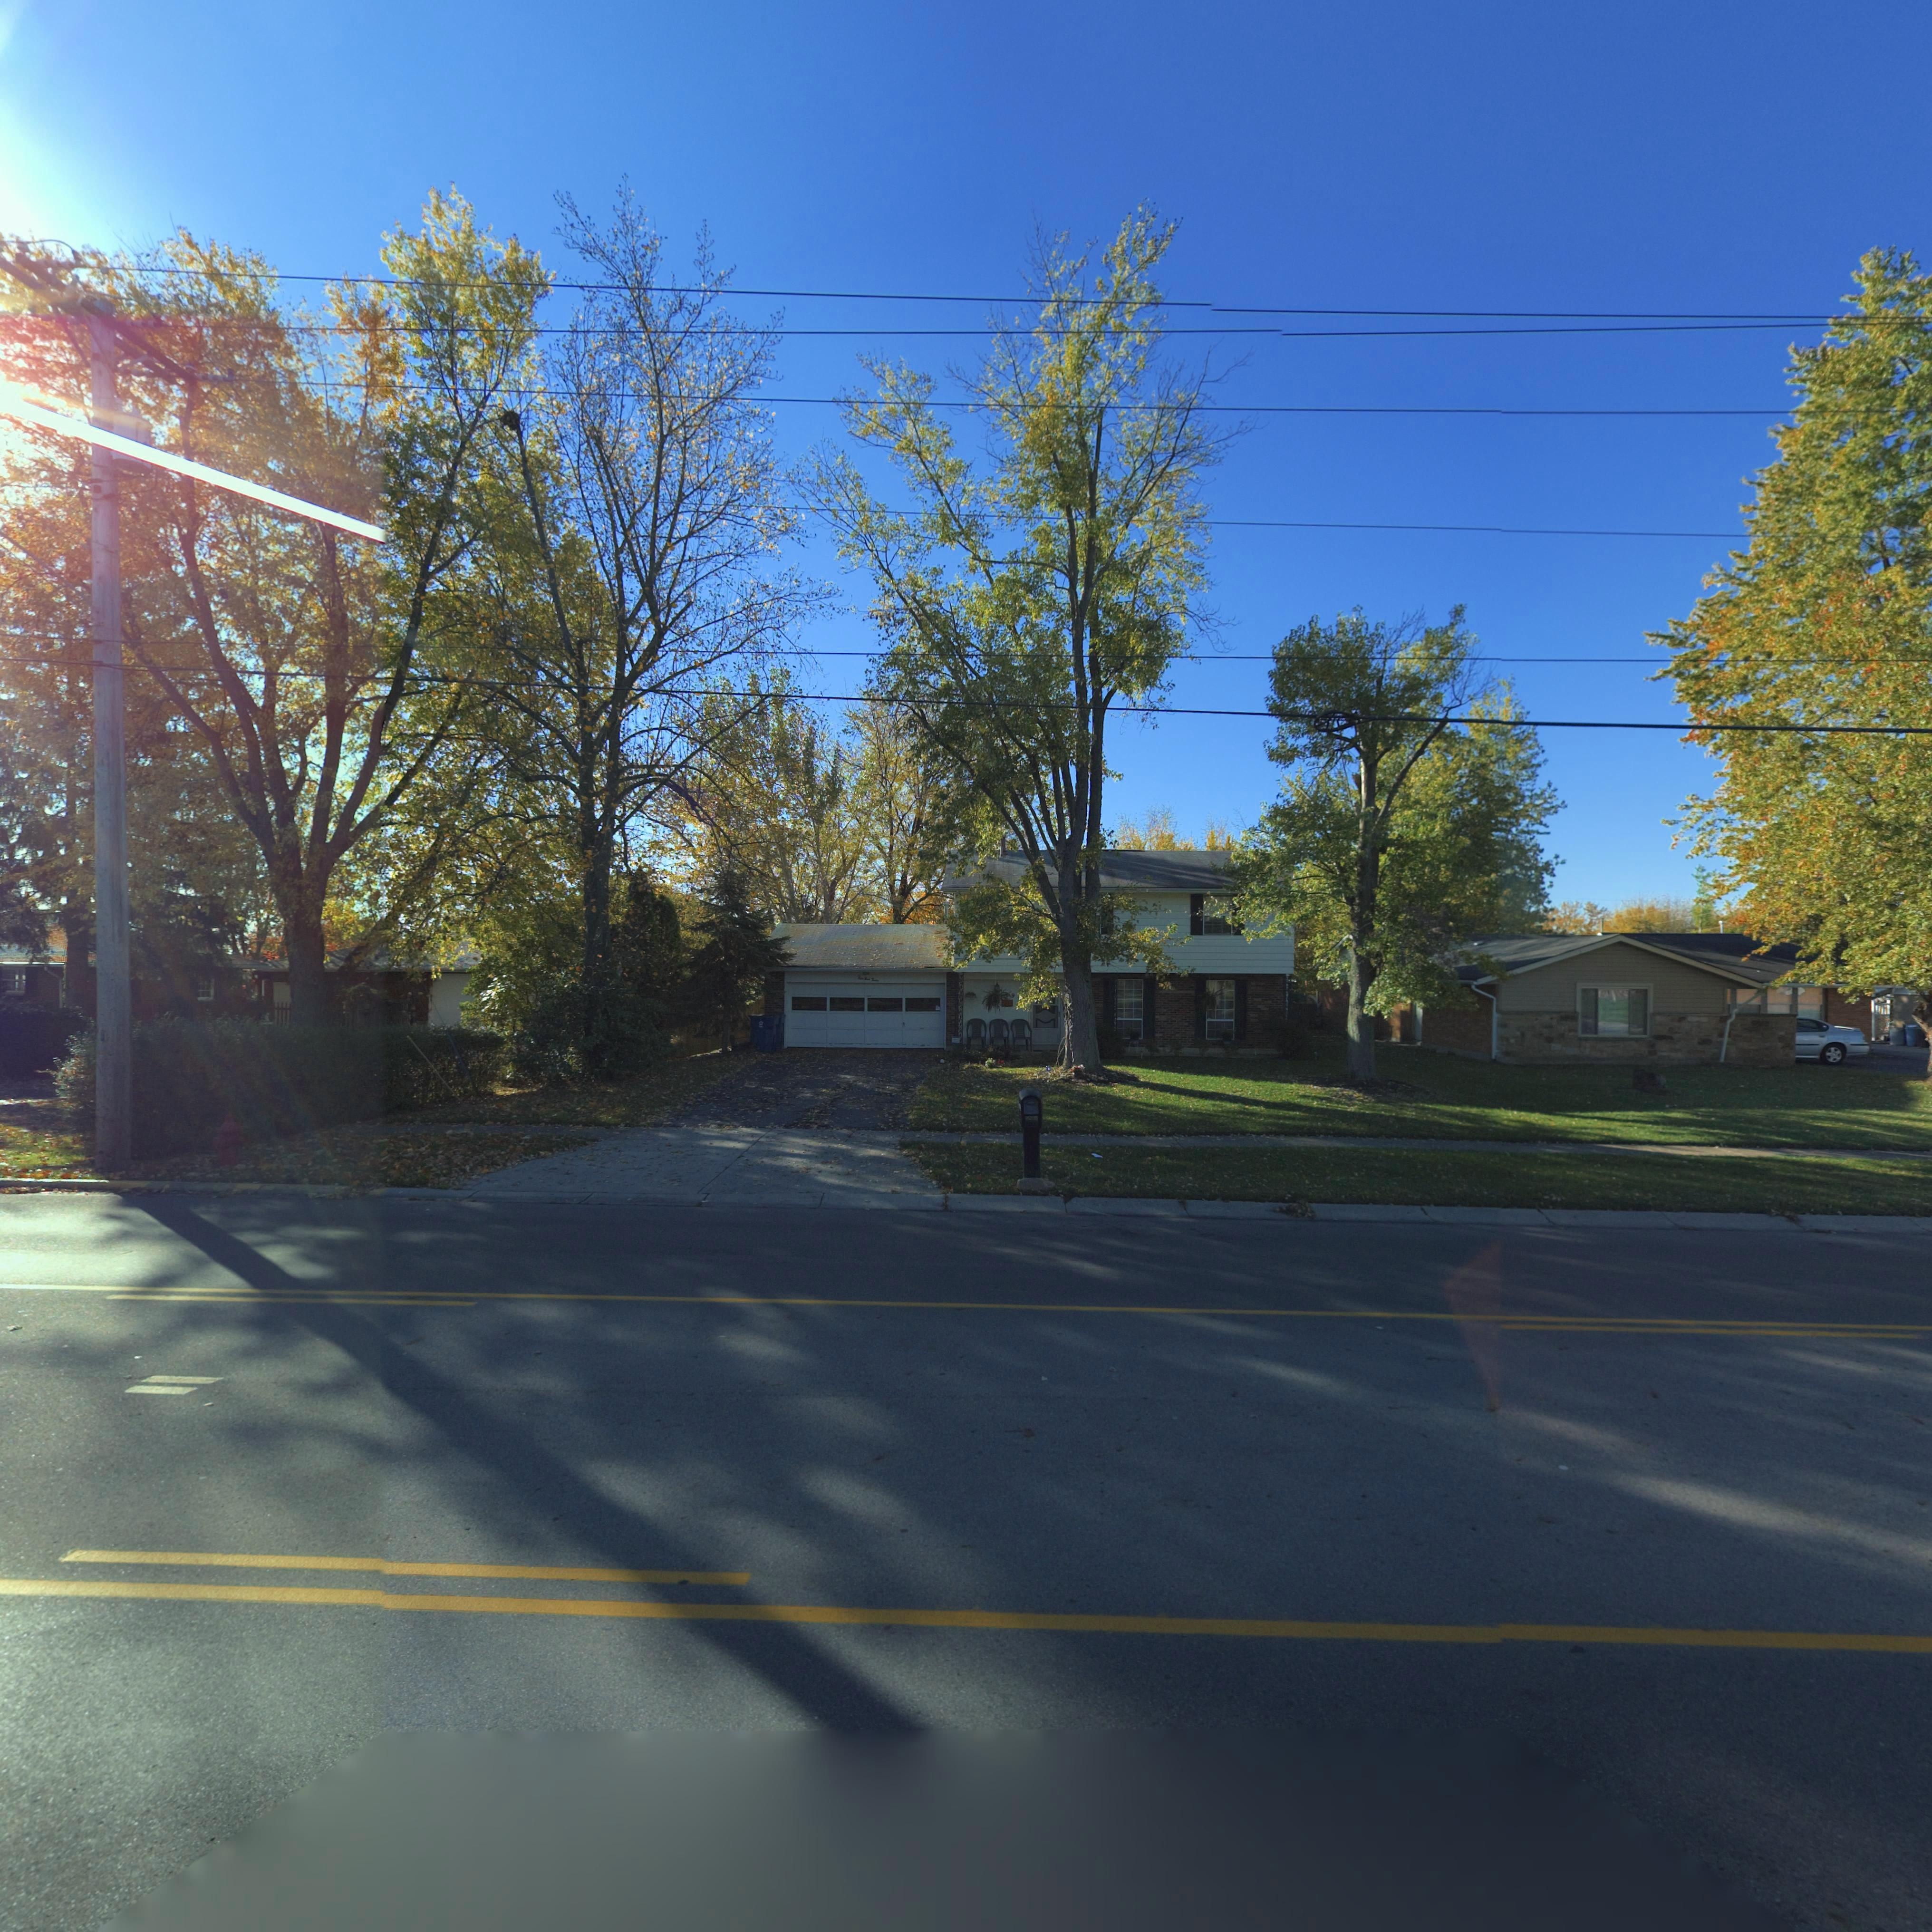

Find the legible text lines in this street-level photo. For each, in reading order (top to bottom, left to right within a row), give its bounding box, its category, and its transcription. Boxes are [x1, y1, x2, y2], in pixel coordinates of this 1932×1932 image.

[857, 975, 861, 980] StreetNumber: F
[871, 977, 875, 982] StreetNumber: T
[1011, 993, 1015, 998] StreetNumber: 9